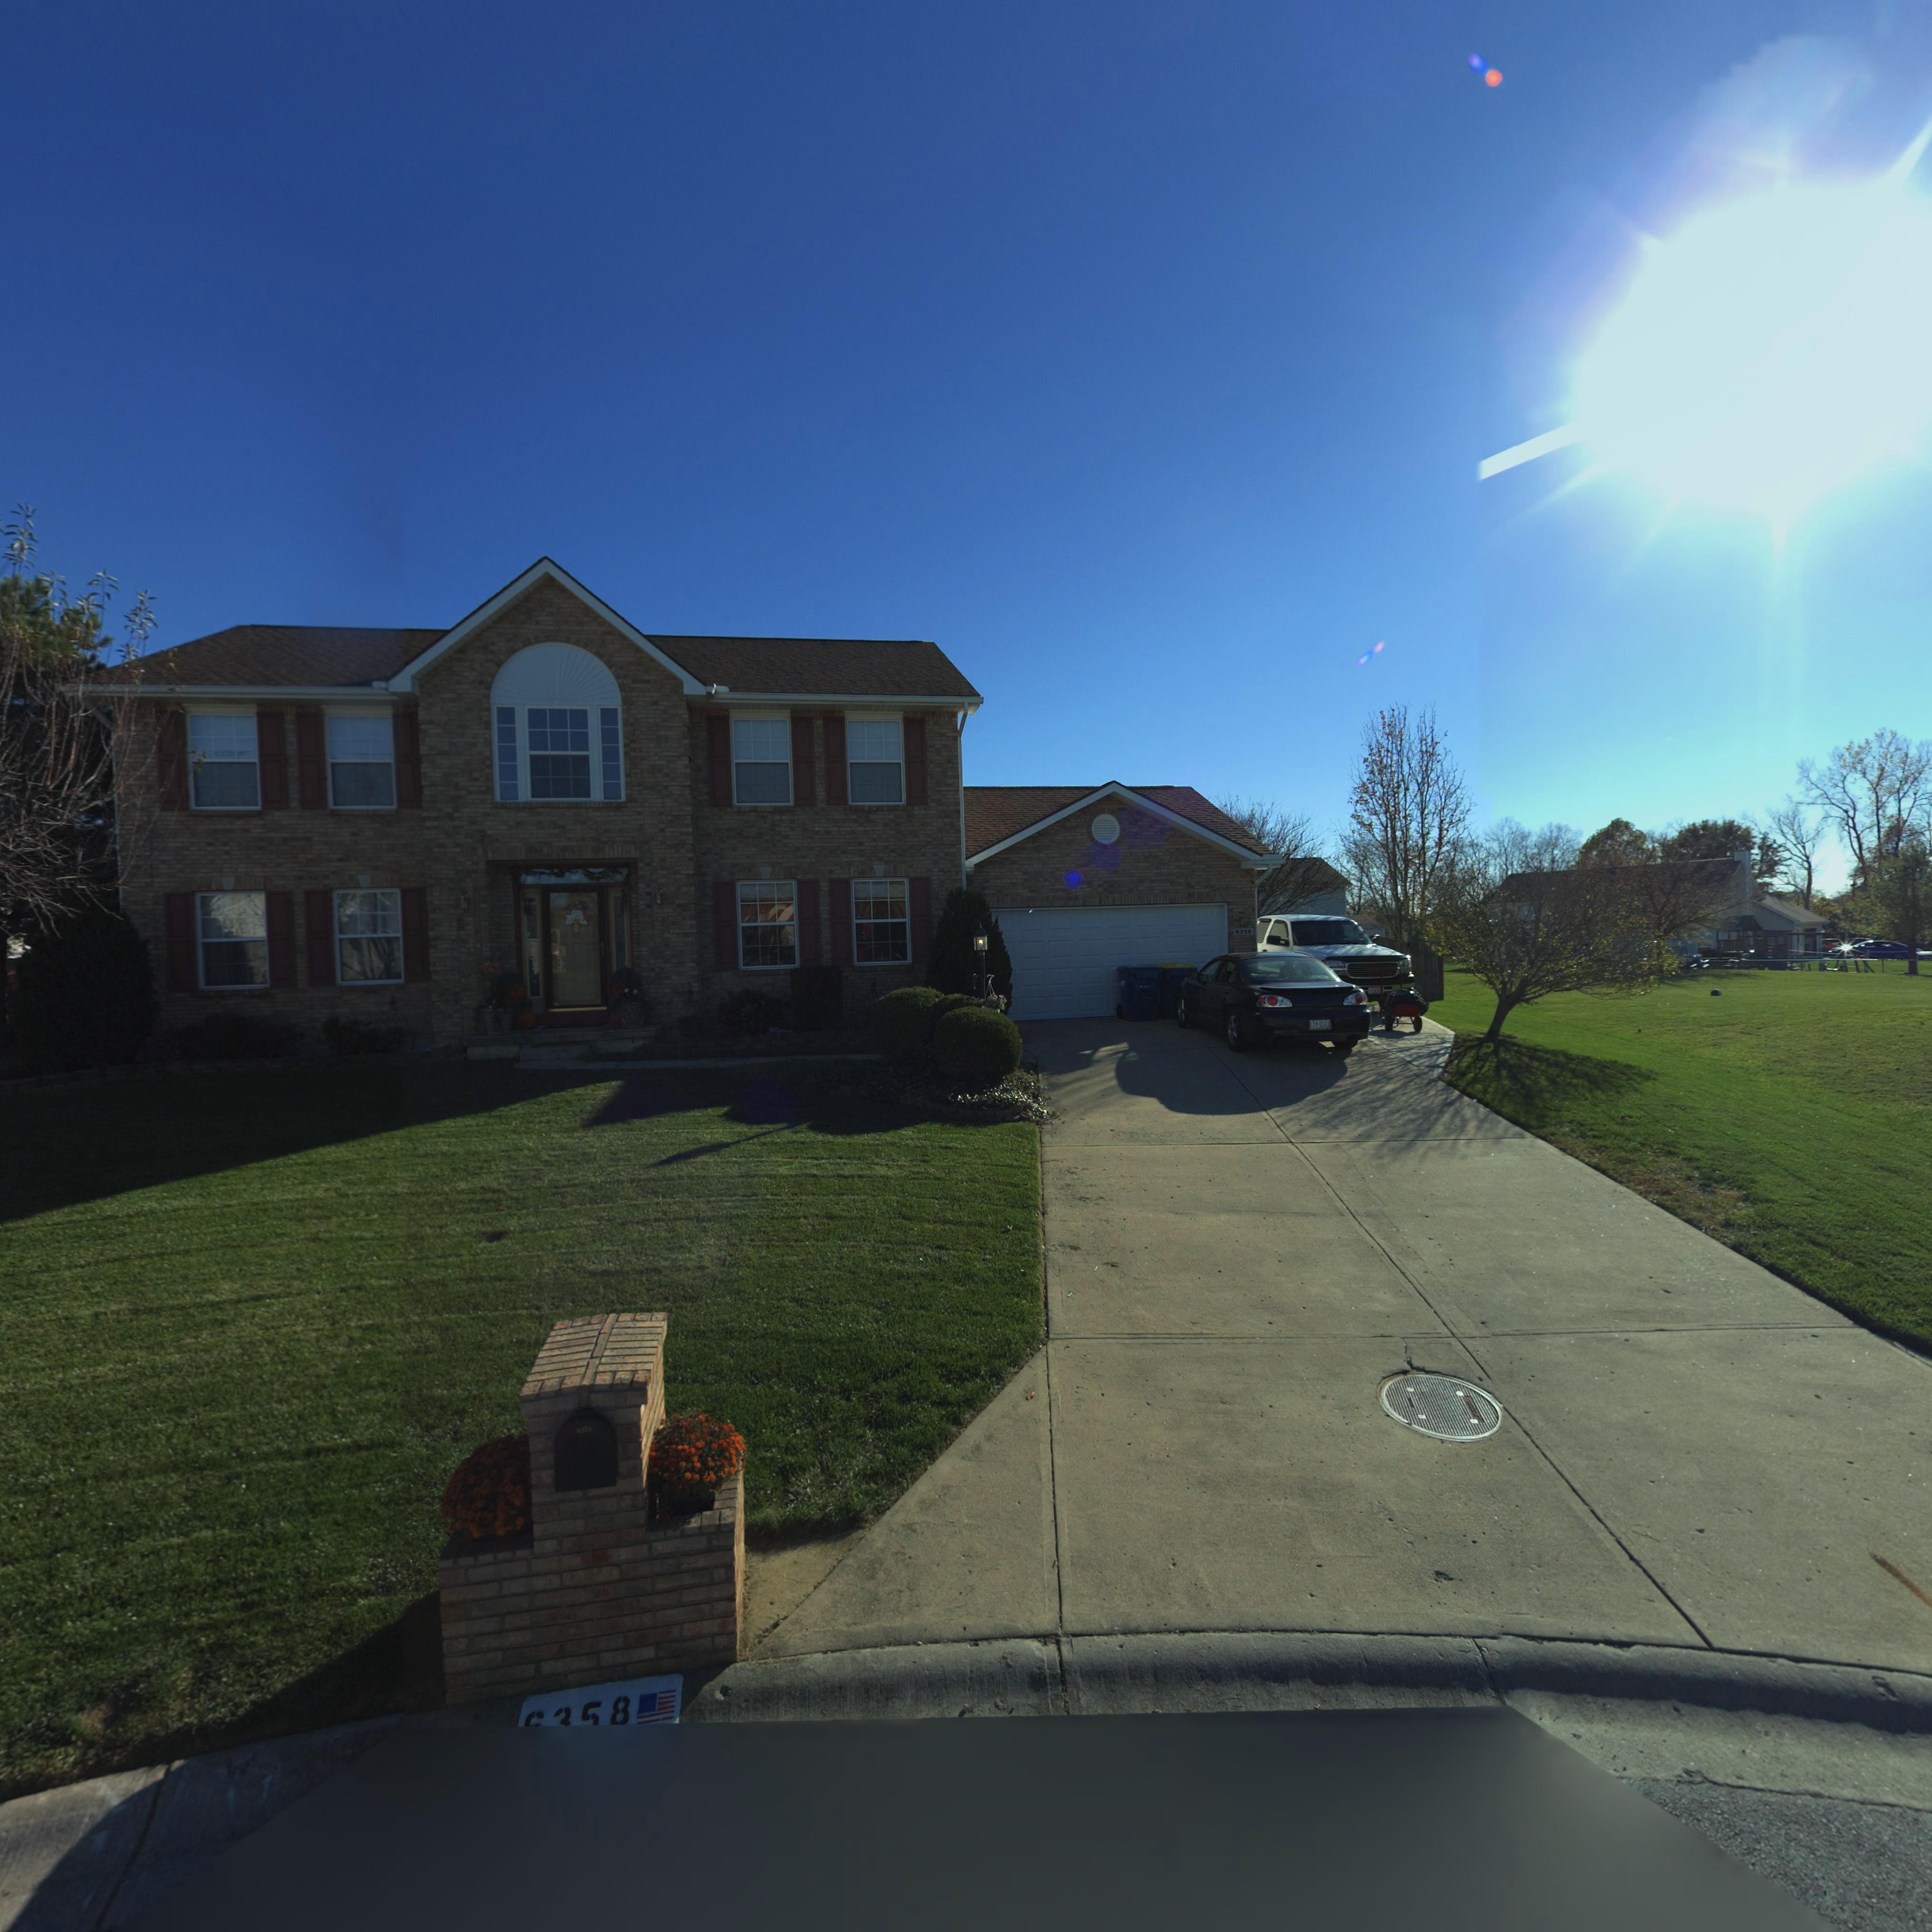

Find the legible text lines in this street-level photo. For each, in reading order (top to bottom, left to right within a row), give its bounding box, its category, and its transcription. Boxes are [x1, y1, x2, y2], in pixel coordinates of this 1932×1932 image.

[1235, 928, 1252, 935] StreetNumber: 6358
[575, 1424, 594, 1434] StreetNumber: 6358
[609, 1695, 631, 1728] StreetNumber: 8